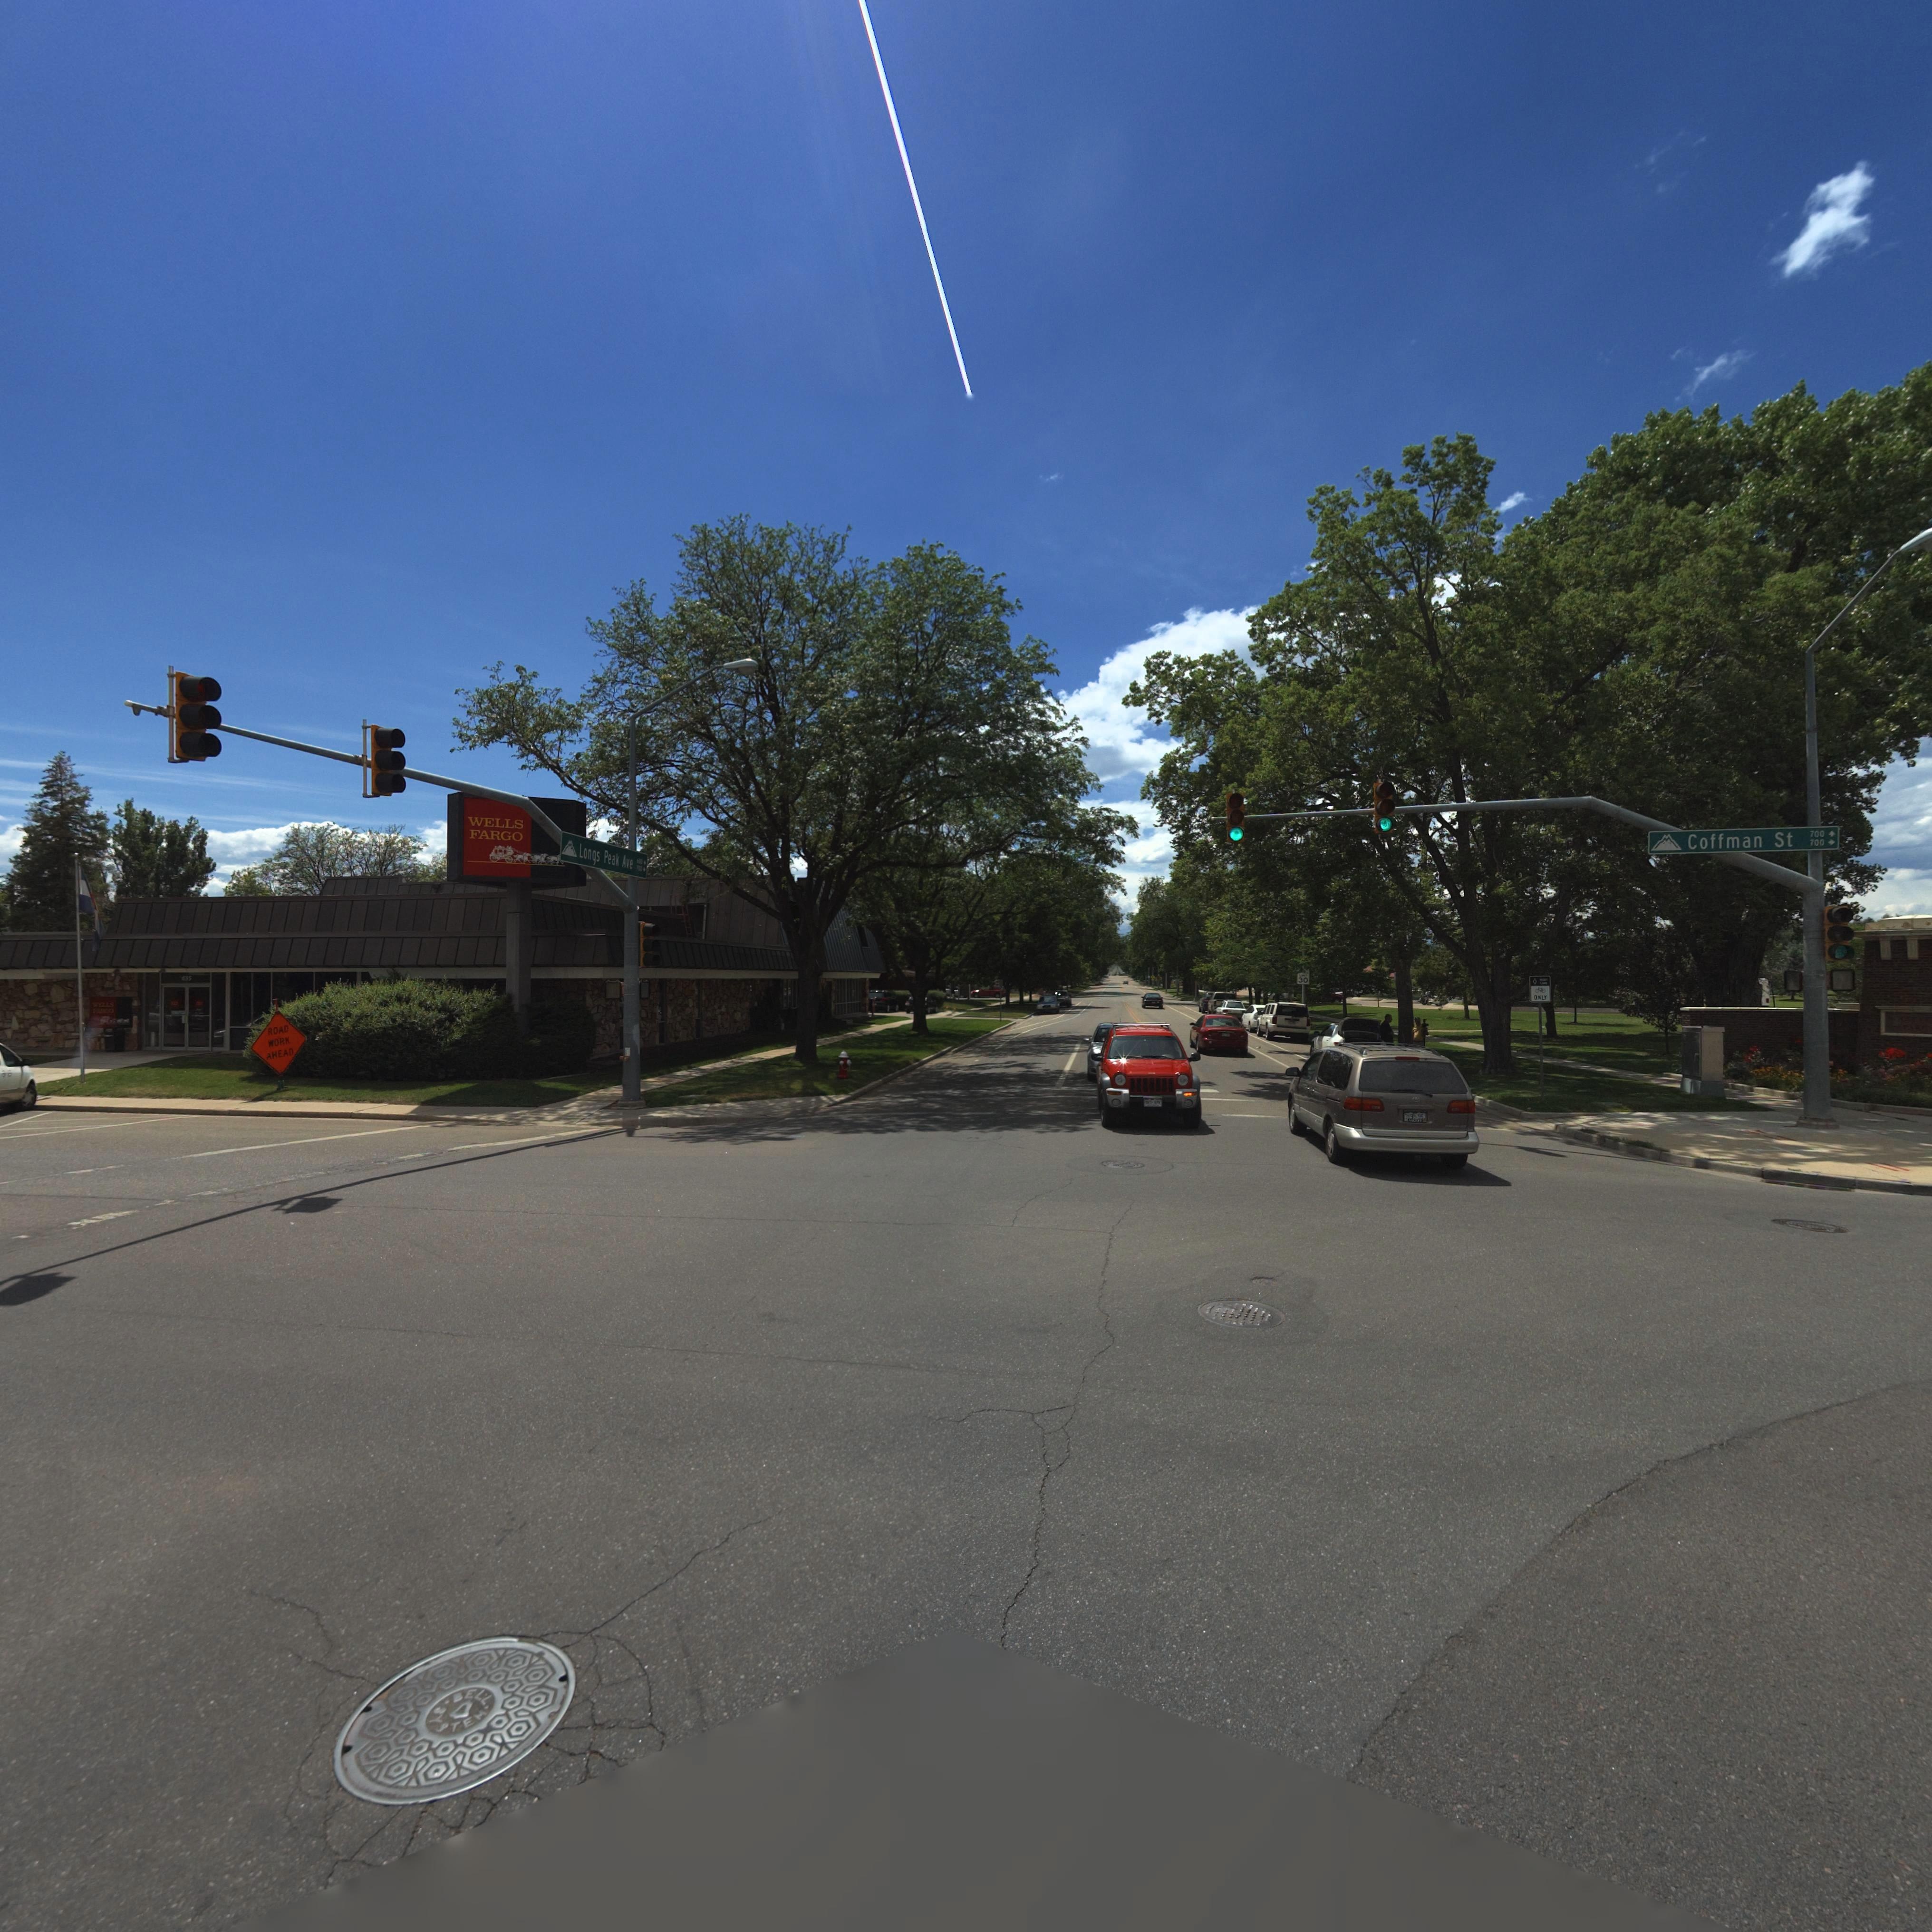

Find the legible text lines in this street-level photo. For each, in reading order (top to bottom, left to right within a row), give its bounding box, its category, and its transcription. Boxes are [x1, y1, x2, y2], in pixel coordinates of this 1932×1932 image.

[467, 816, 523, 829] BusinessName: WELLS
[469, 830, 523, 841] BusinessName: FARGO
[1810, 830, 1824, 837] StreetNumberRange: 700
[1688, 831, 1793, 850] StreetName: Coffman St
[1810, 839, 1835, 846] StreetNumberRange: 700 ->
[579, 843, 633, 869] StreetName: Longs Peak Ave
[637, 858, 643, 864] StreetNumberRange: 6**
[636, 864, 646, 871] StreetNumberRange: *00 ->
[182, 975, 192, 981] StreetNumber: *35
[91, 1002, 114, 1007] BusinessName: WELLS
[93, 1008, 114, 1014] BusinessName: F*RGO